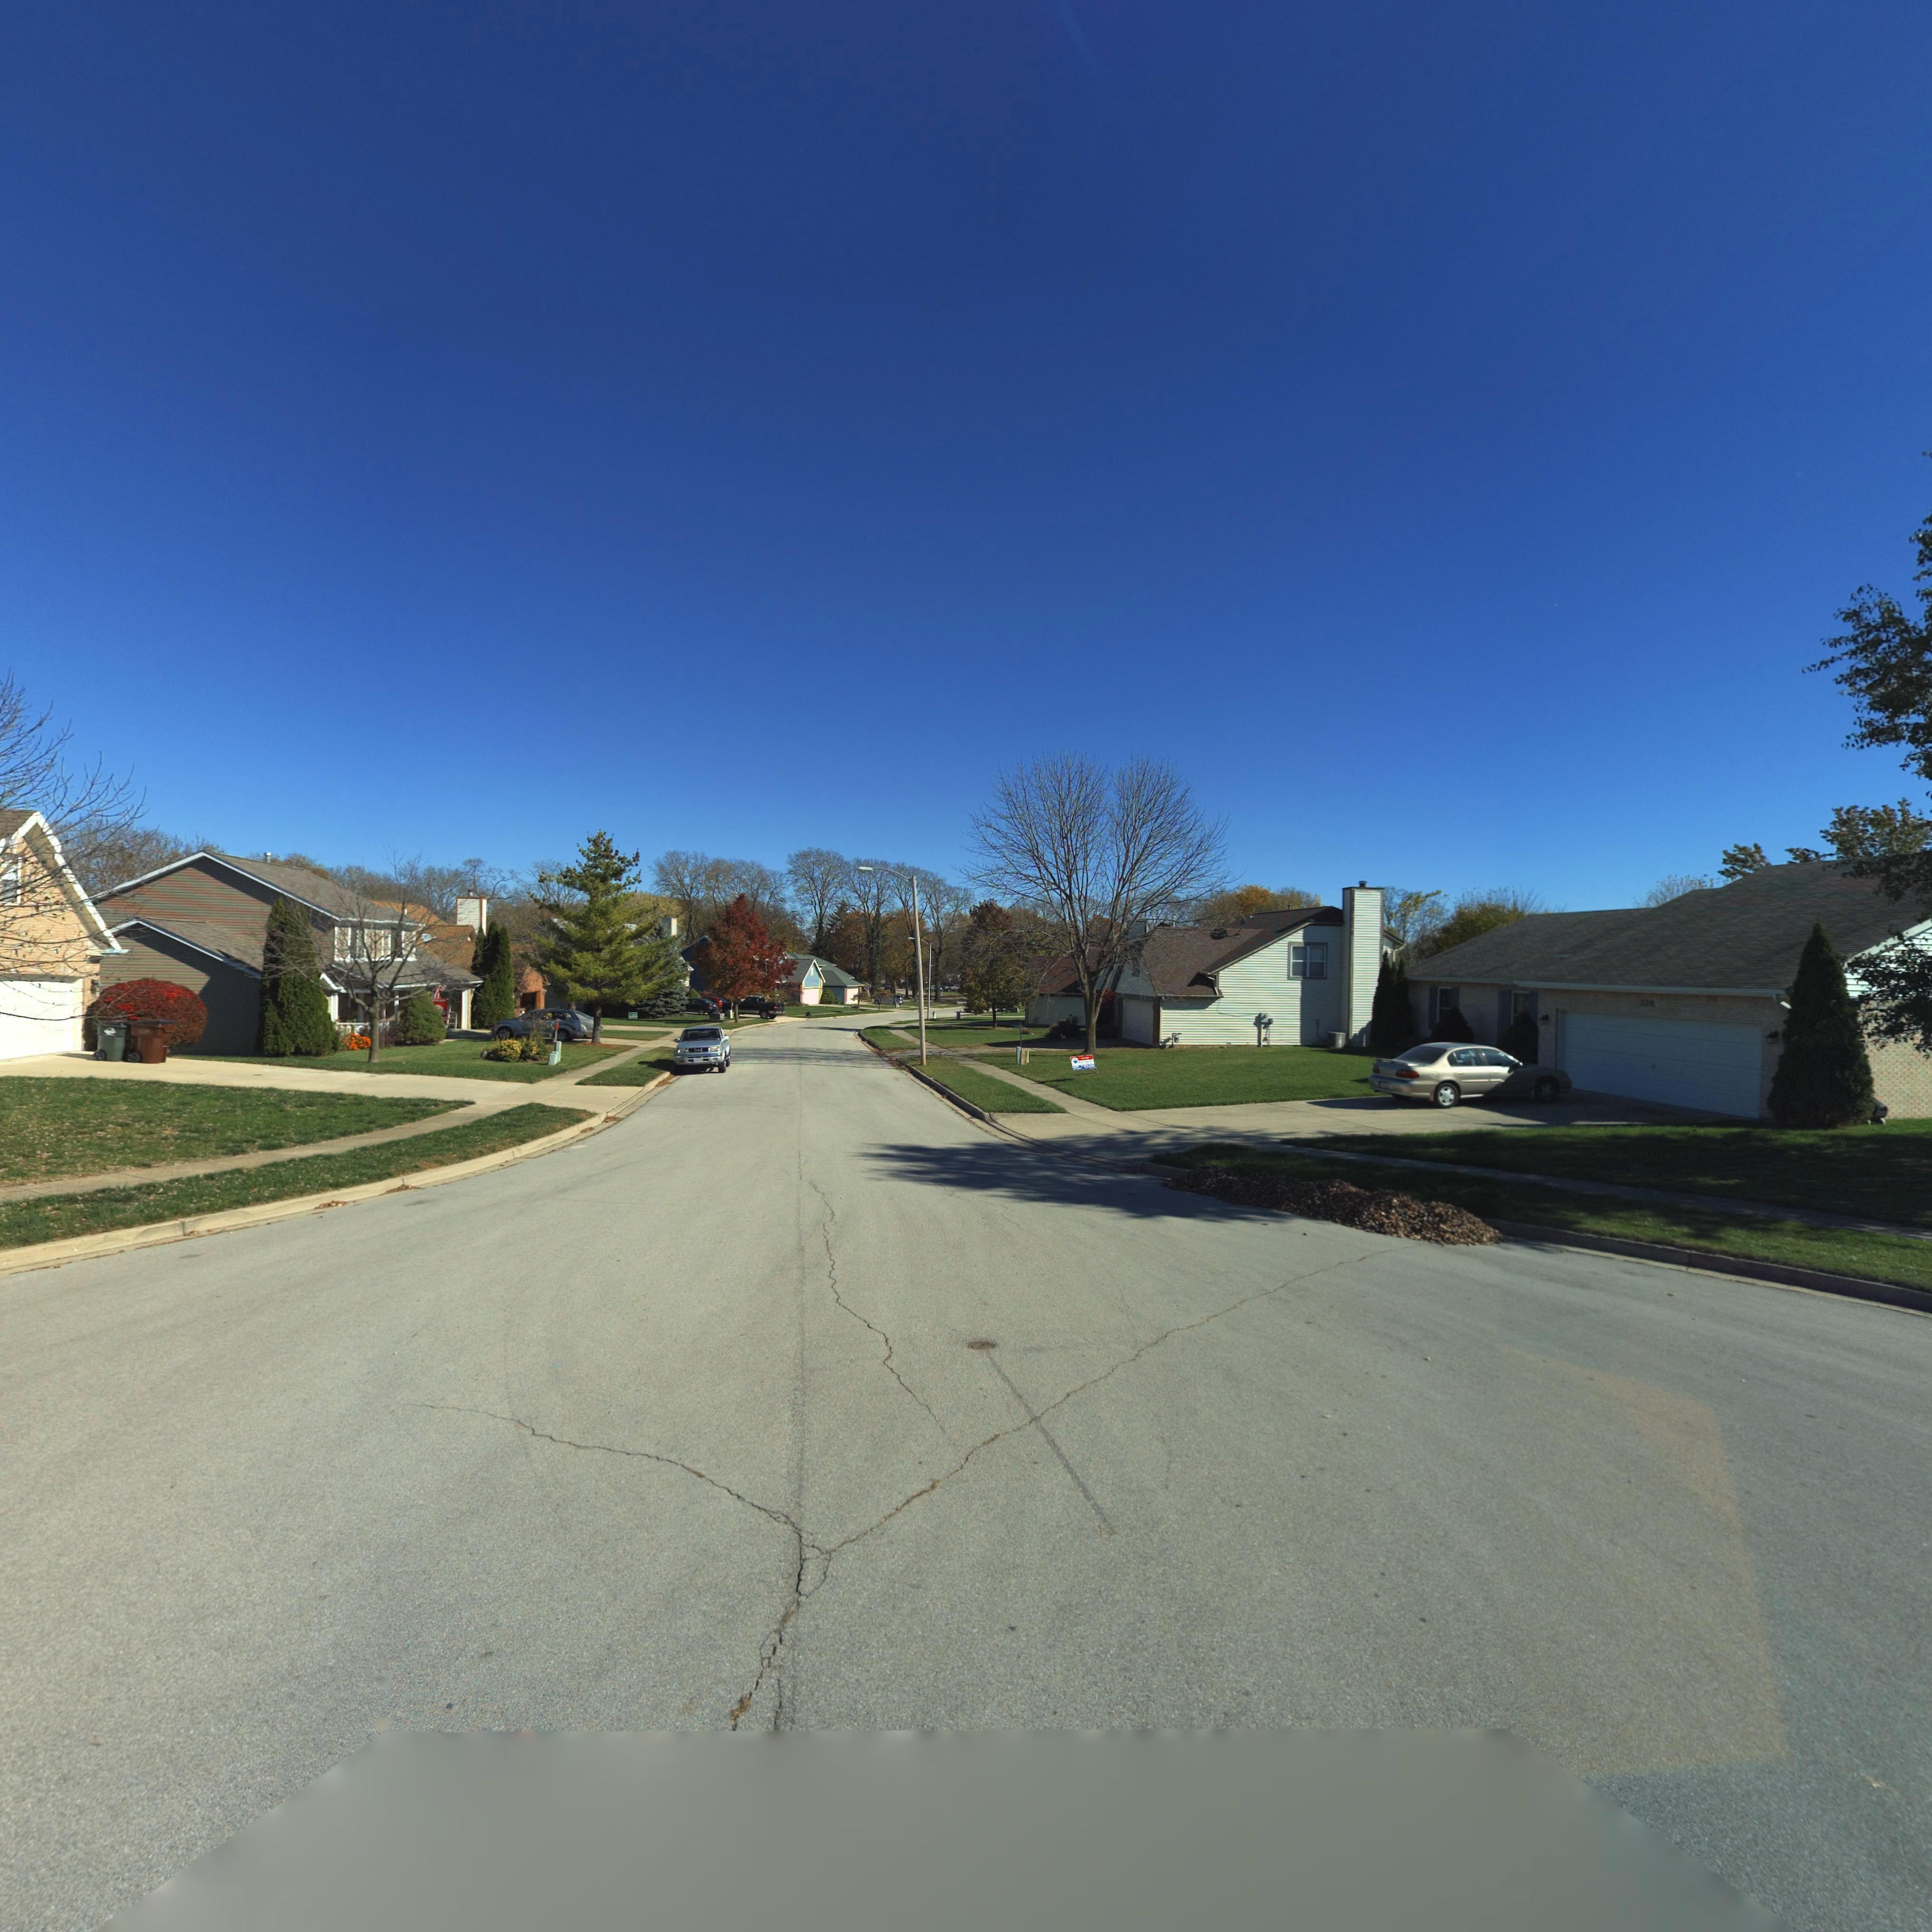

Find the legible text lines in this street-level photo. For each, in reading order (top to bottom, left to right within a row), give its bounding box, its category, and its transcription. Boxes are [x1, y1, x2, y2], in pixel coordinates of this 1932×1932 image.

[1638, 998, 1656, 1009] StreetNumber: *2*